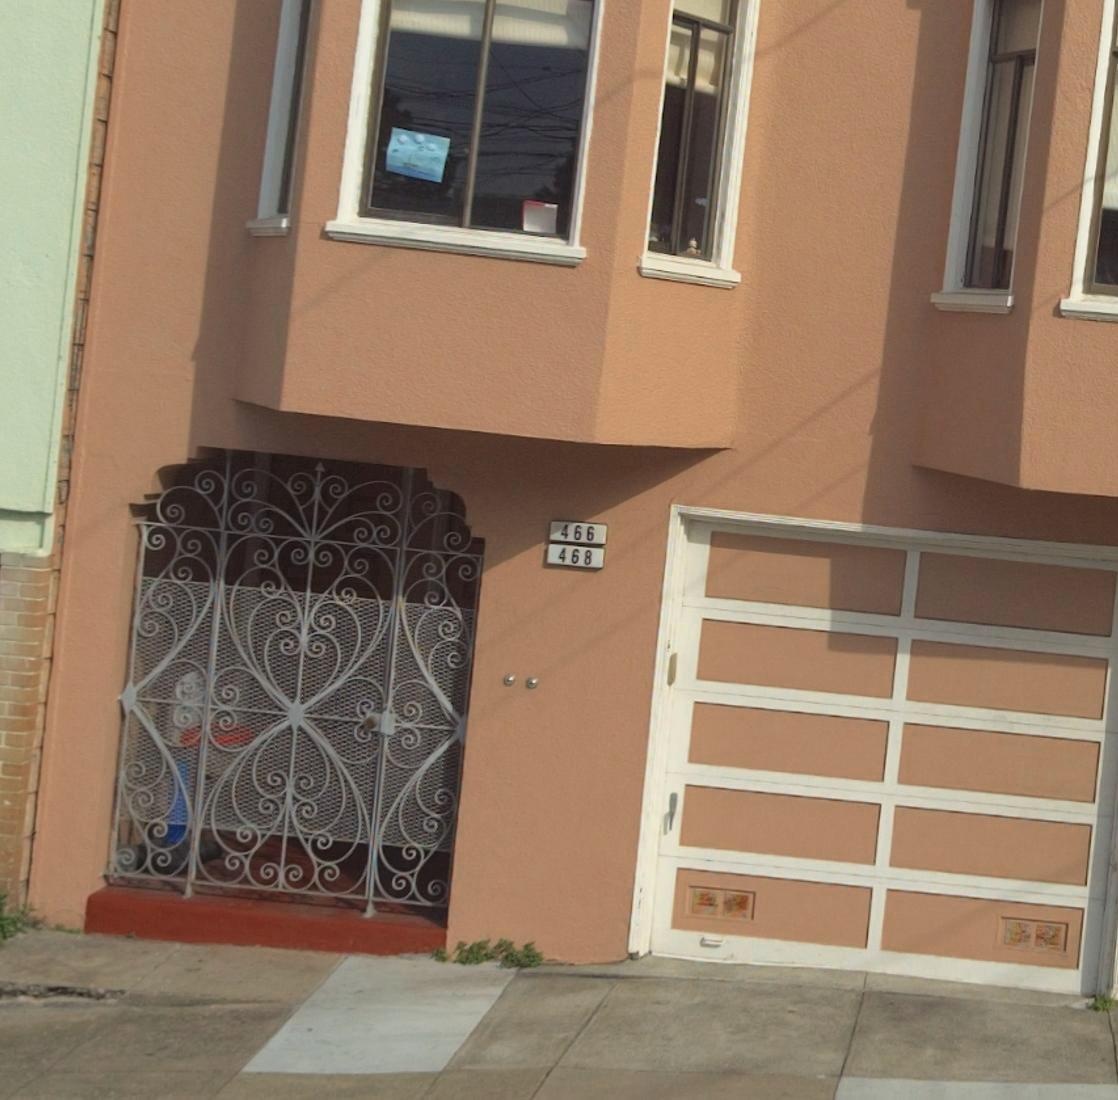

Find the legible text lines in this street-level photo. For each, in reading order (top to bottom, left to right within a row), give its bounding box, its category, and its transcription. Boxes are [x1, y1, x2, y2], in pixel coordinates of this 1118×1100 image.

[558, 523, 596, 543] StreetNumber: 466
[556, 547, 594, 567] StreetNumber: 468